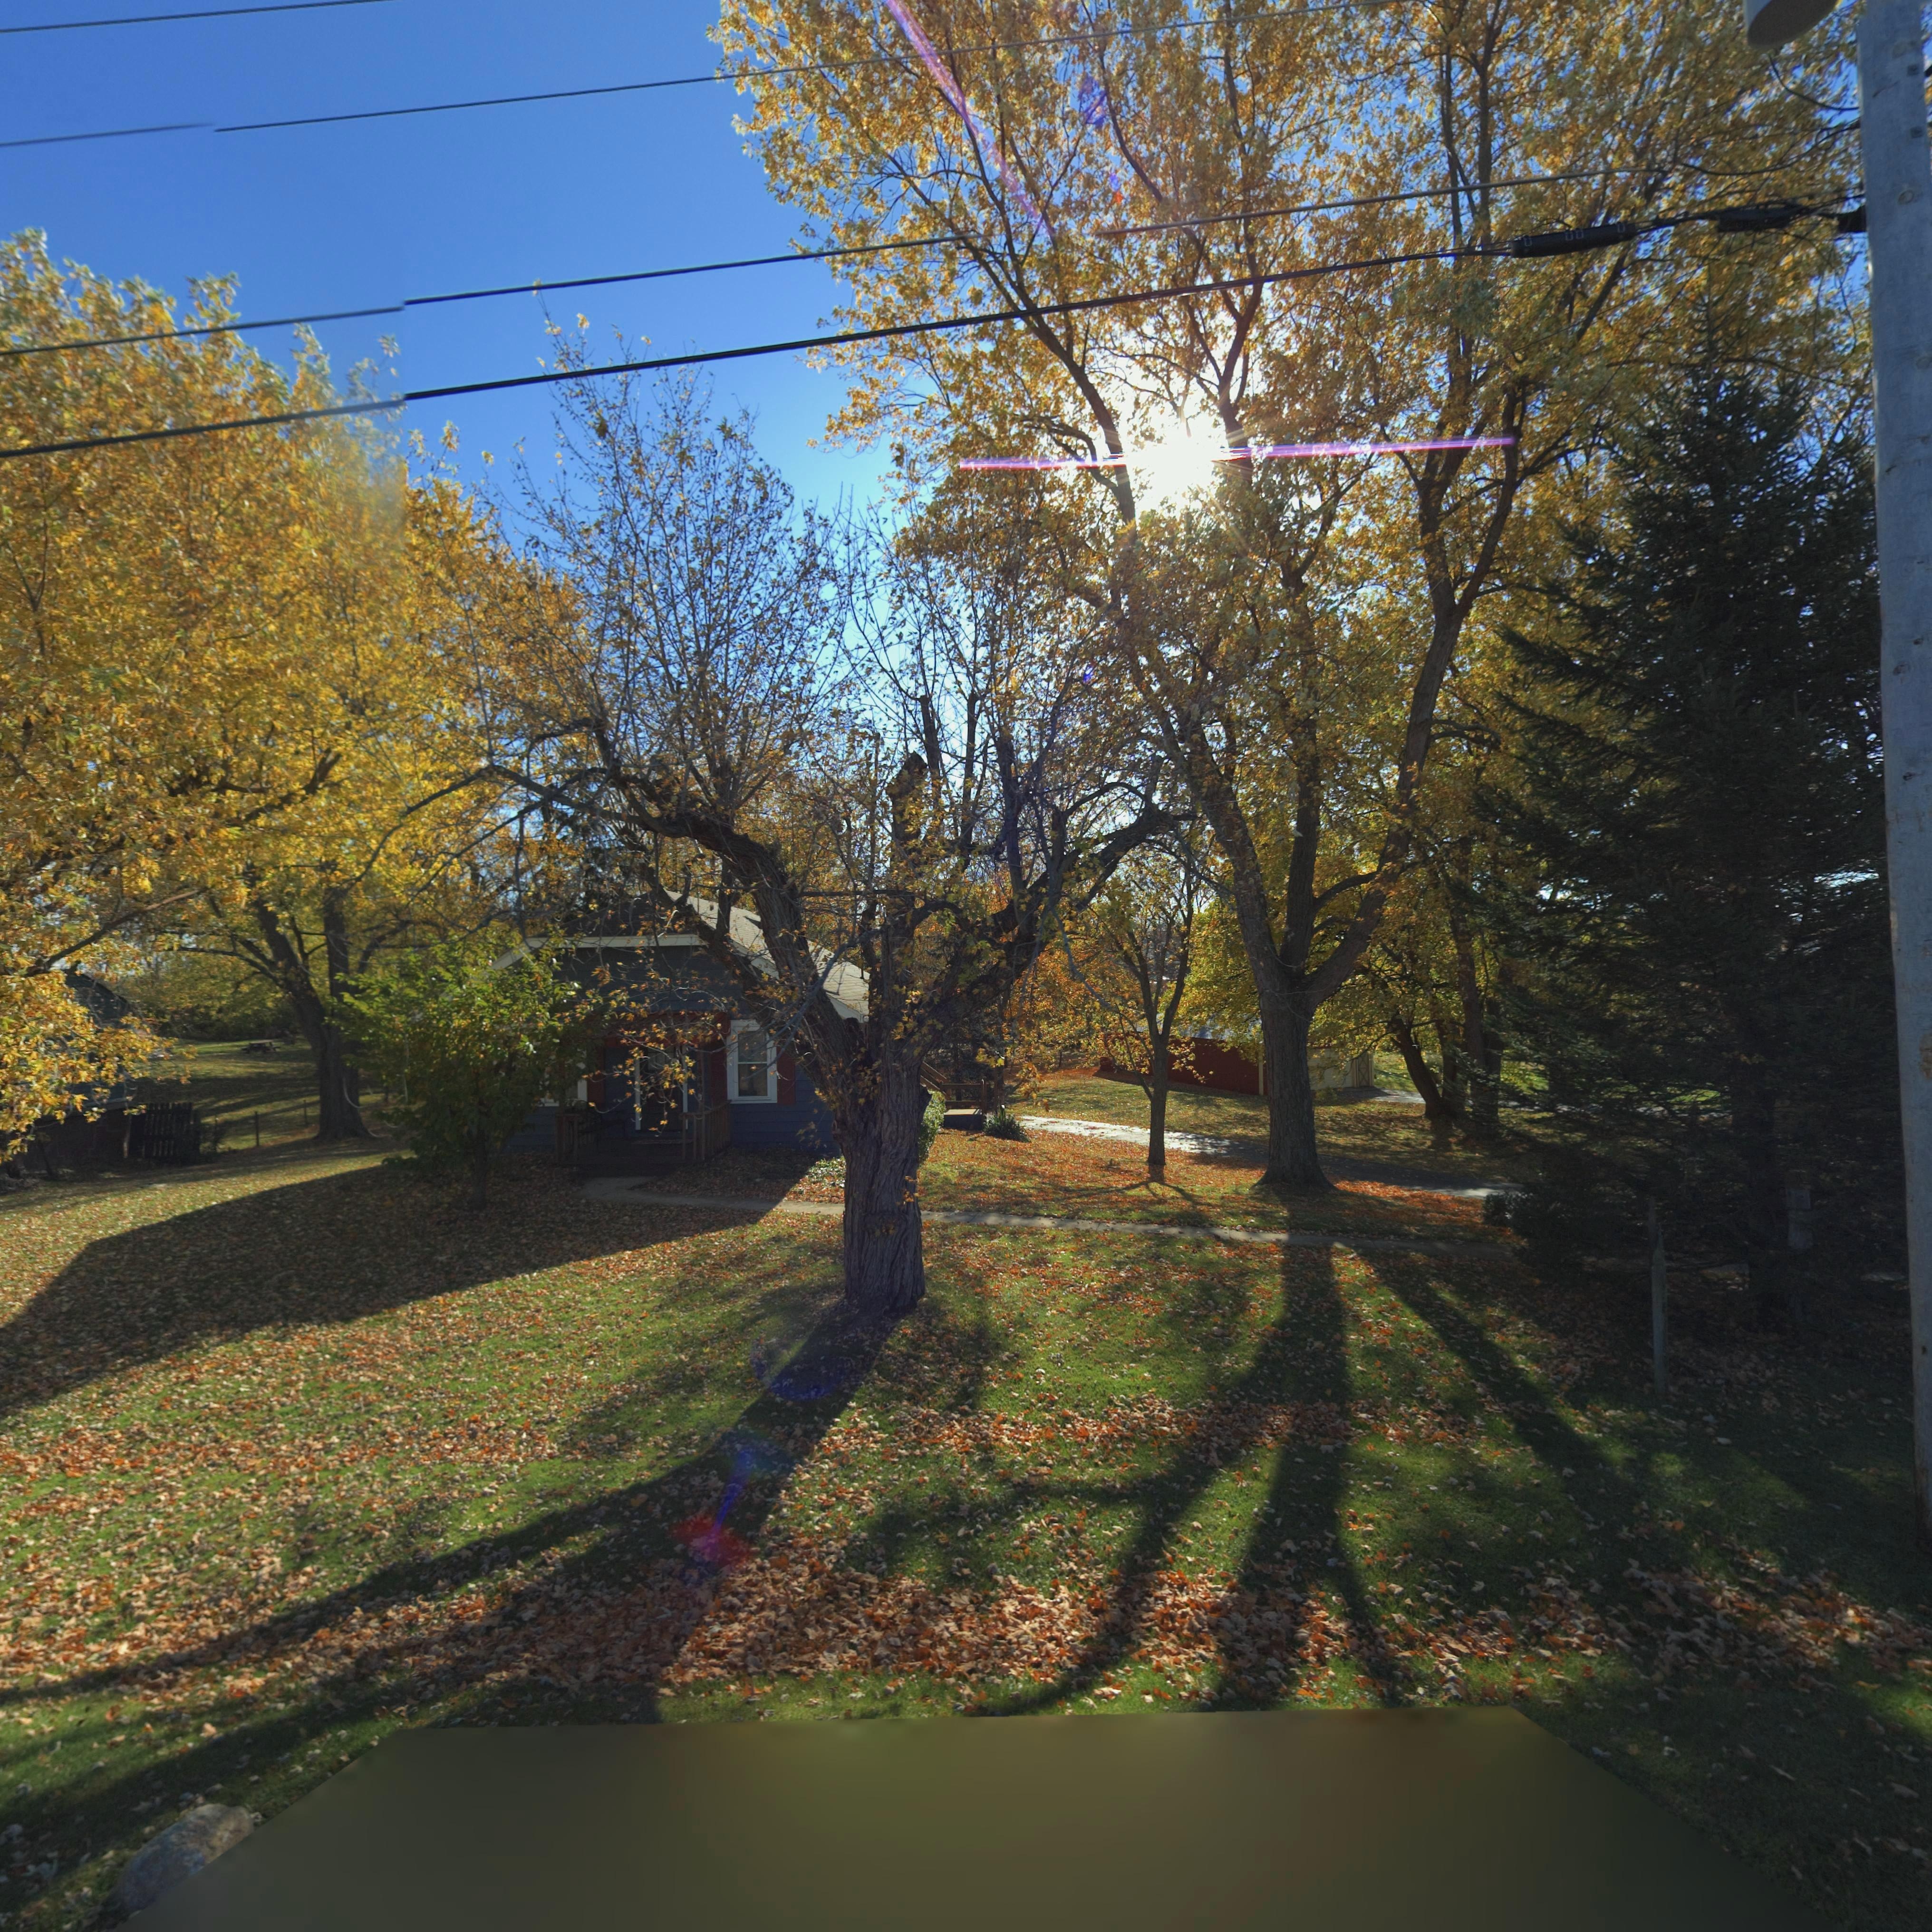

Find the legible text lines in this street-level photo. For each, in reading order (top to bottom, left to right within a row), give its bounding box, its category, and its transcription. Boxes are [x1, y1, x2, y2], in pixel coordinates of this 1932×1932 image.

[696, 1058, 704, 1093] StreetNumber: 7840